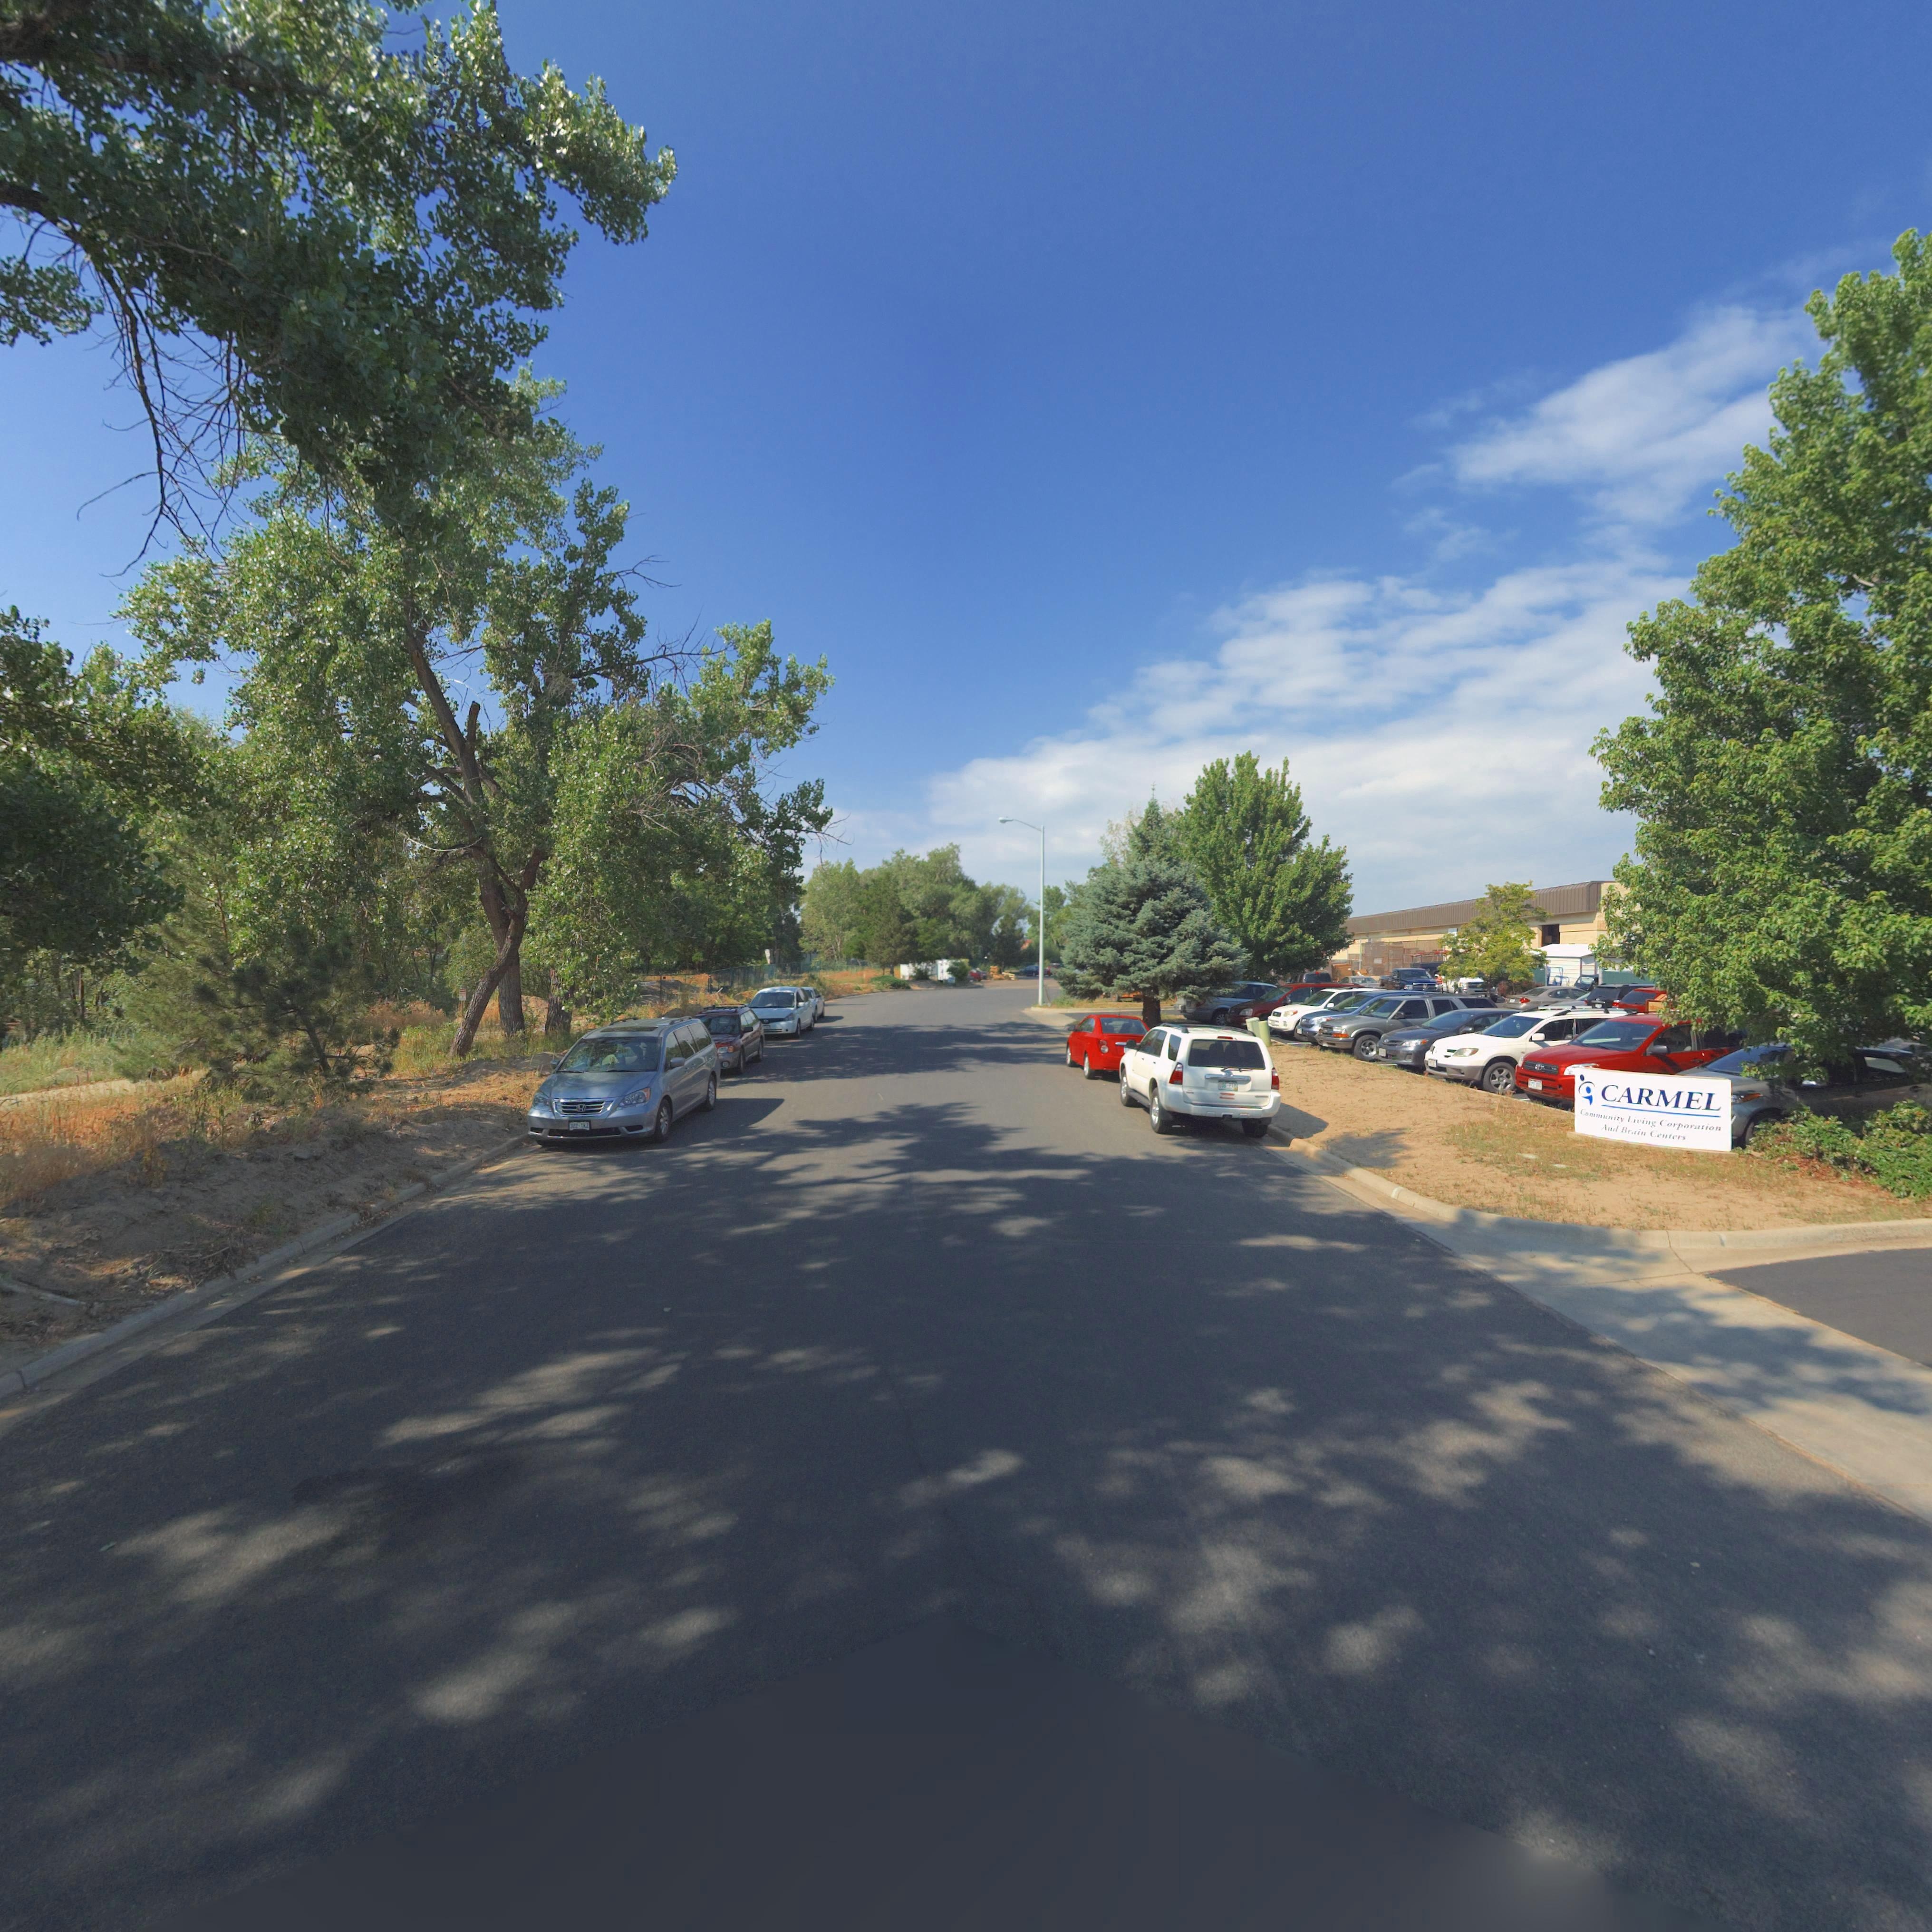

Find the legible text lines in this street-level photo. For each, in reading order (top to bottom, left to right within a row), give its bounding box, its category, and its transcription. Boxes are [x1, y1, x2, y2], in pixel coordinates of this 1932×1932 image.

[1601, 1083, 1722, 1111] BusinessName: CARMEL
[1580, 1108, 1721, 1131] BusinessName: Commun**y *iving Corpor*tion
[1600, 1123, 1687, 1141] BusinessName: And Br*in Center*